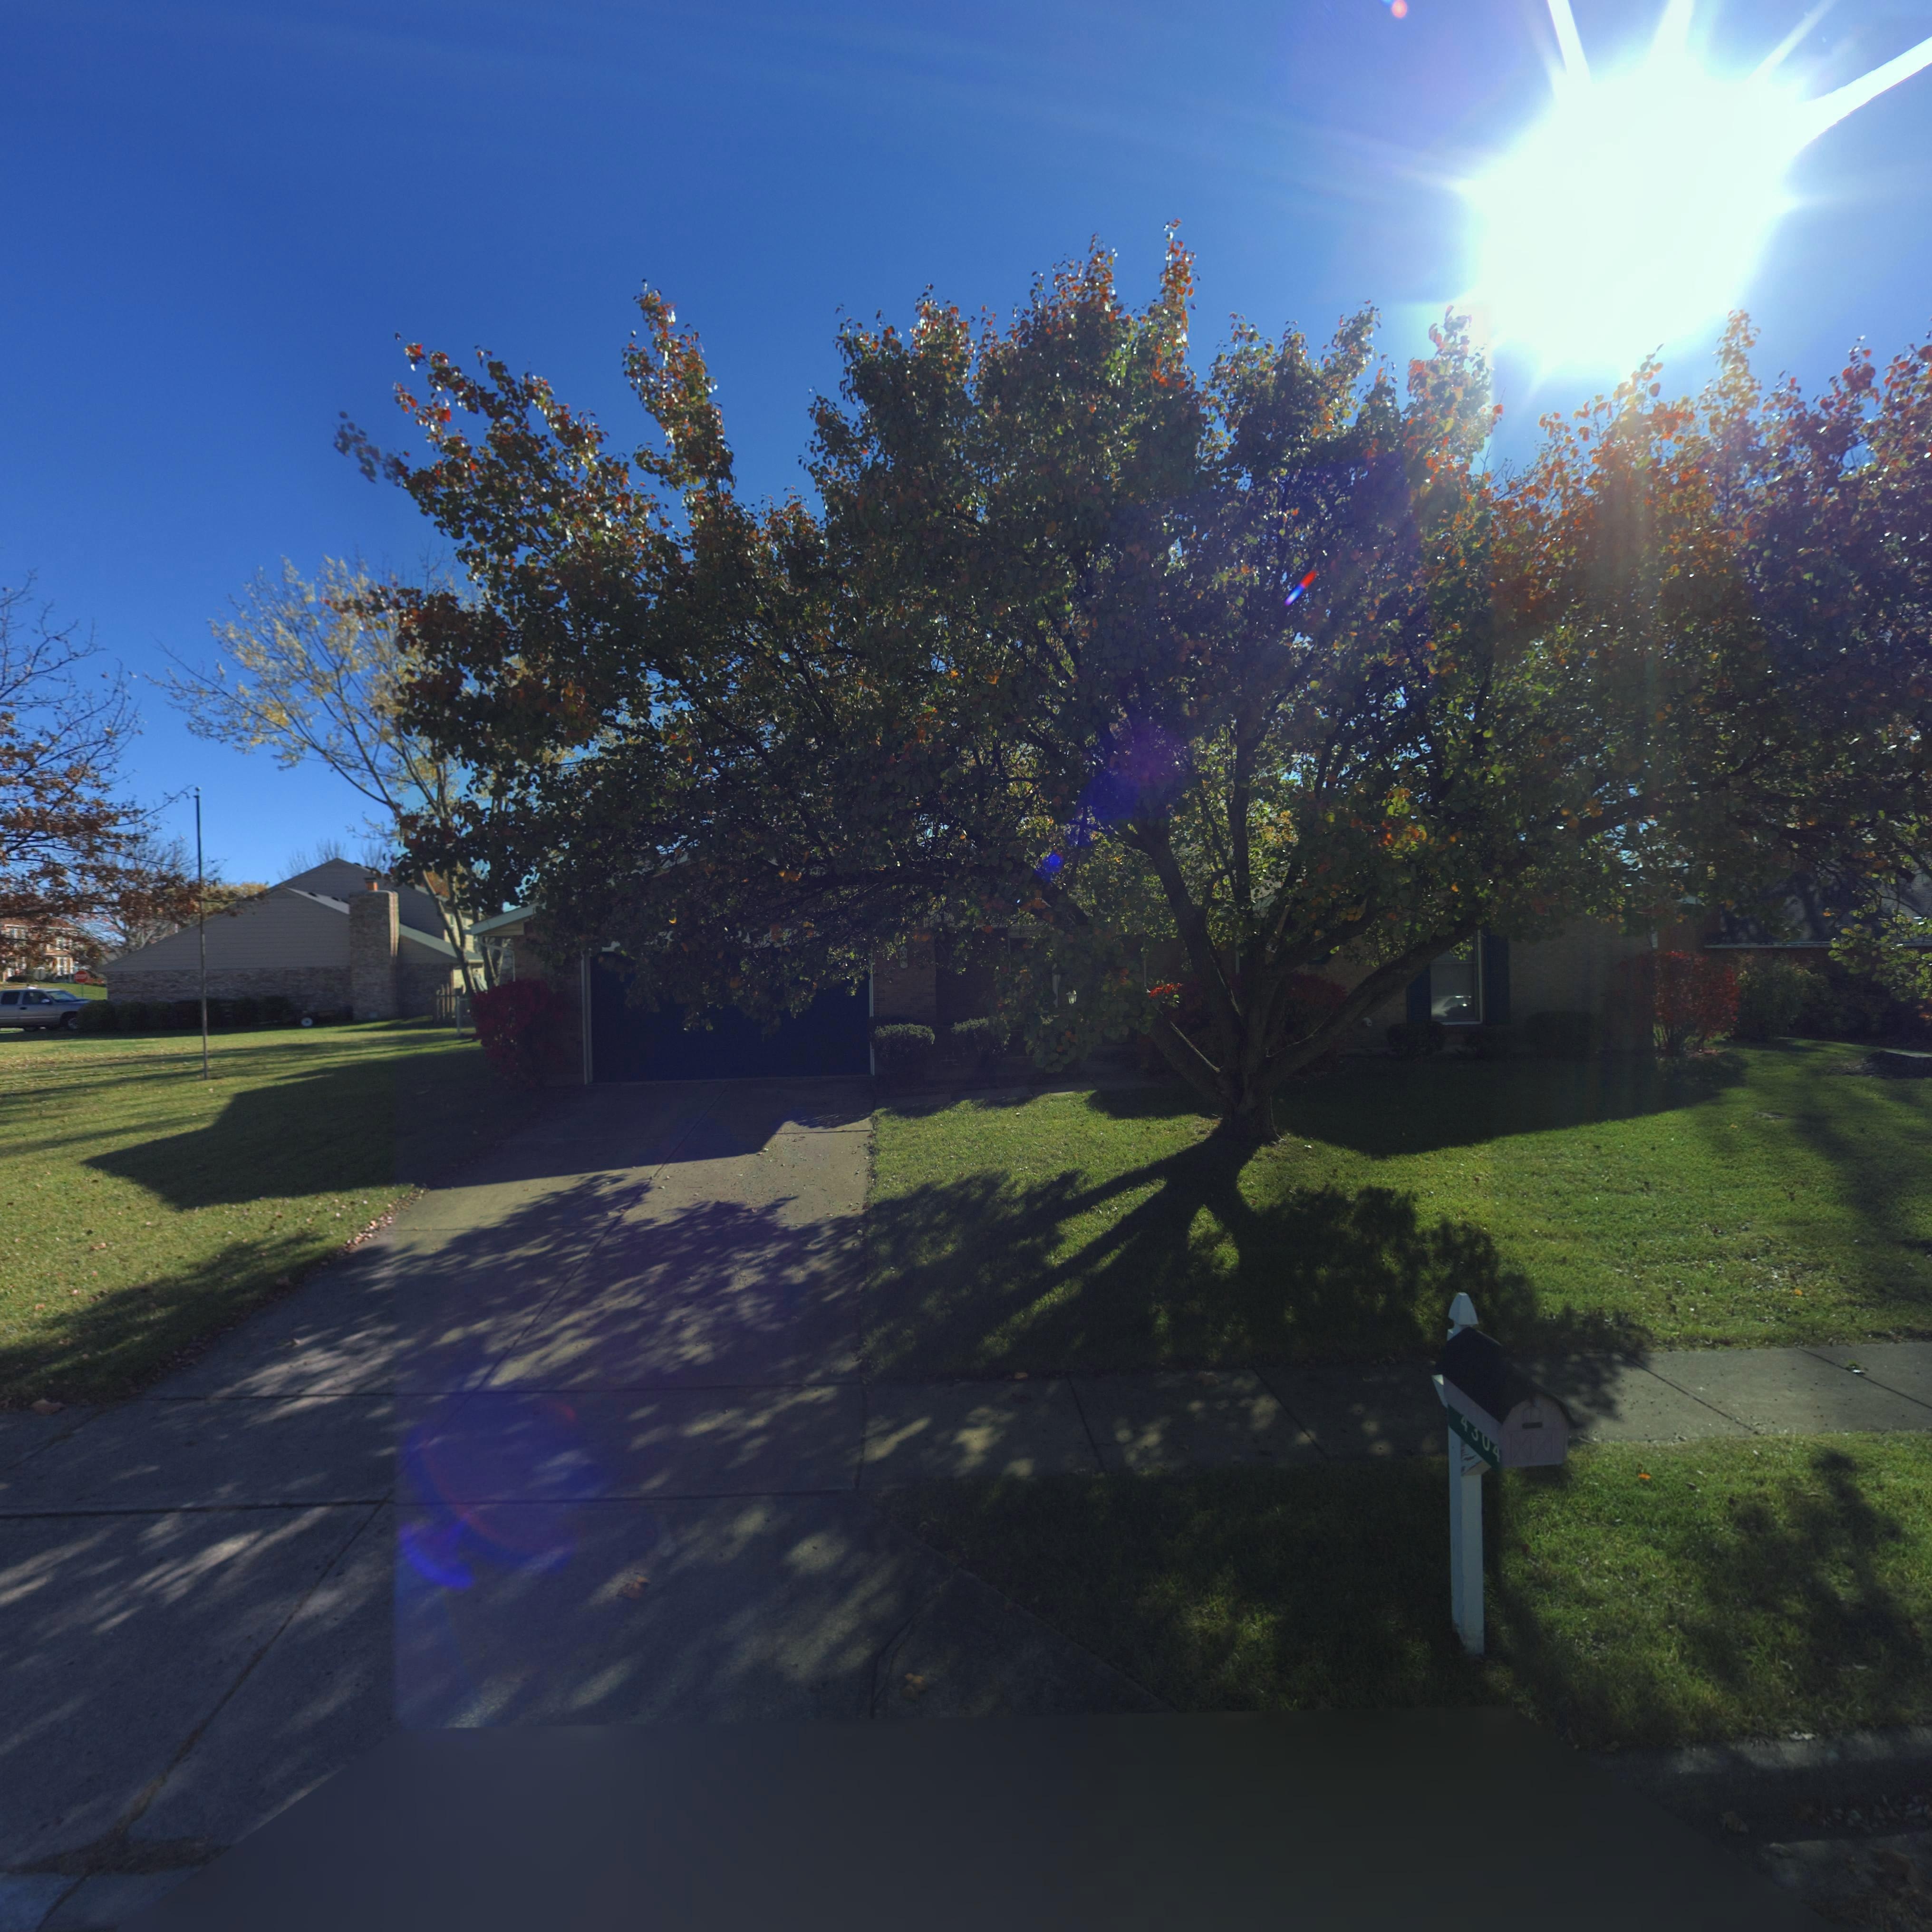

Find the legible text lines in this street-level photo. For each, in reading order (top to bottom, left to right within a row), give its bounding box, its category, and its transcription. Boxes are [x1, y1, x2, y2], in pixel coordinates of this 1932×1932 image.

[1459, 1415, 1500, 1464] StreetNumber: 43*4